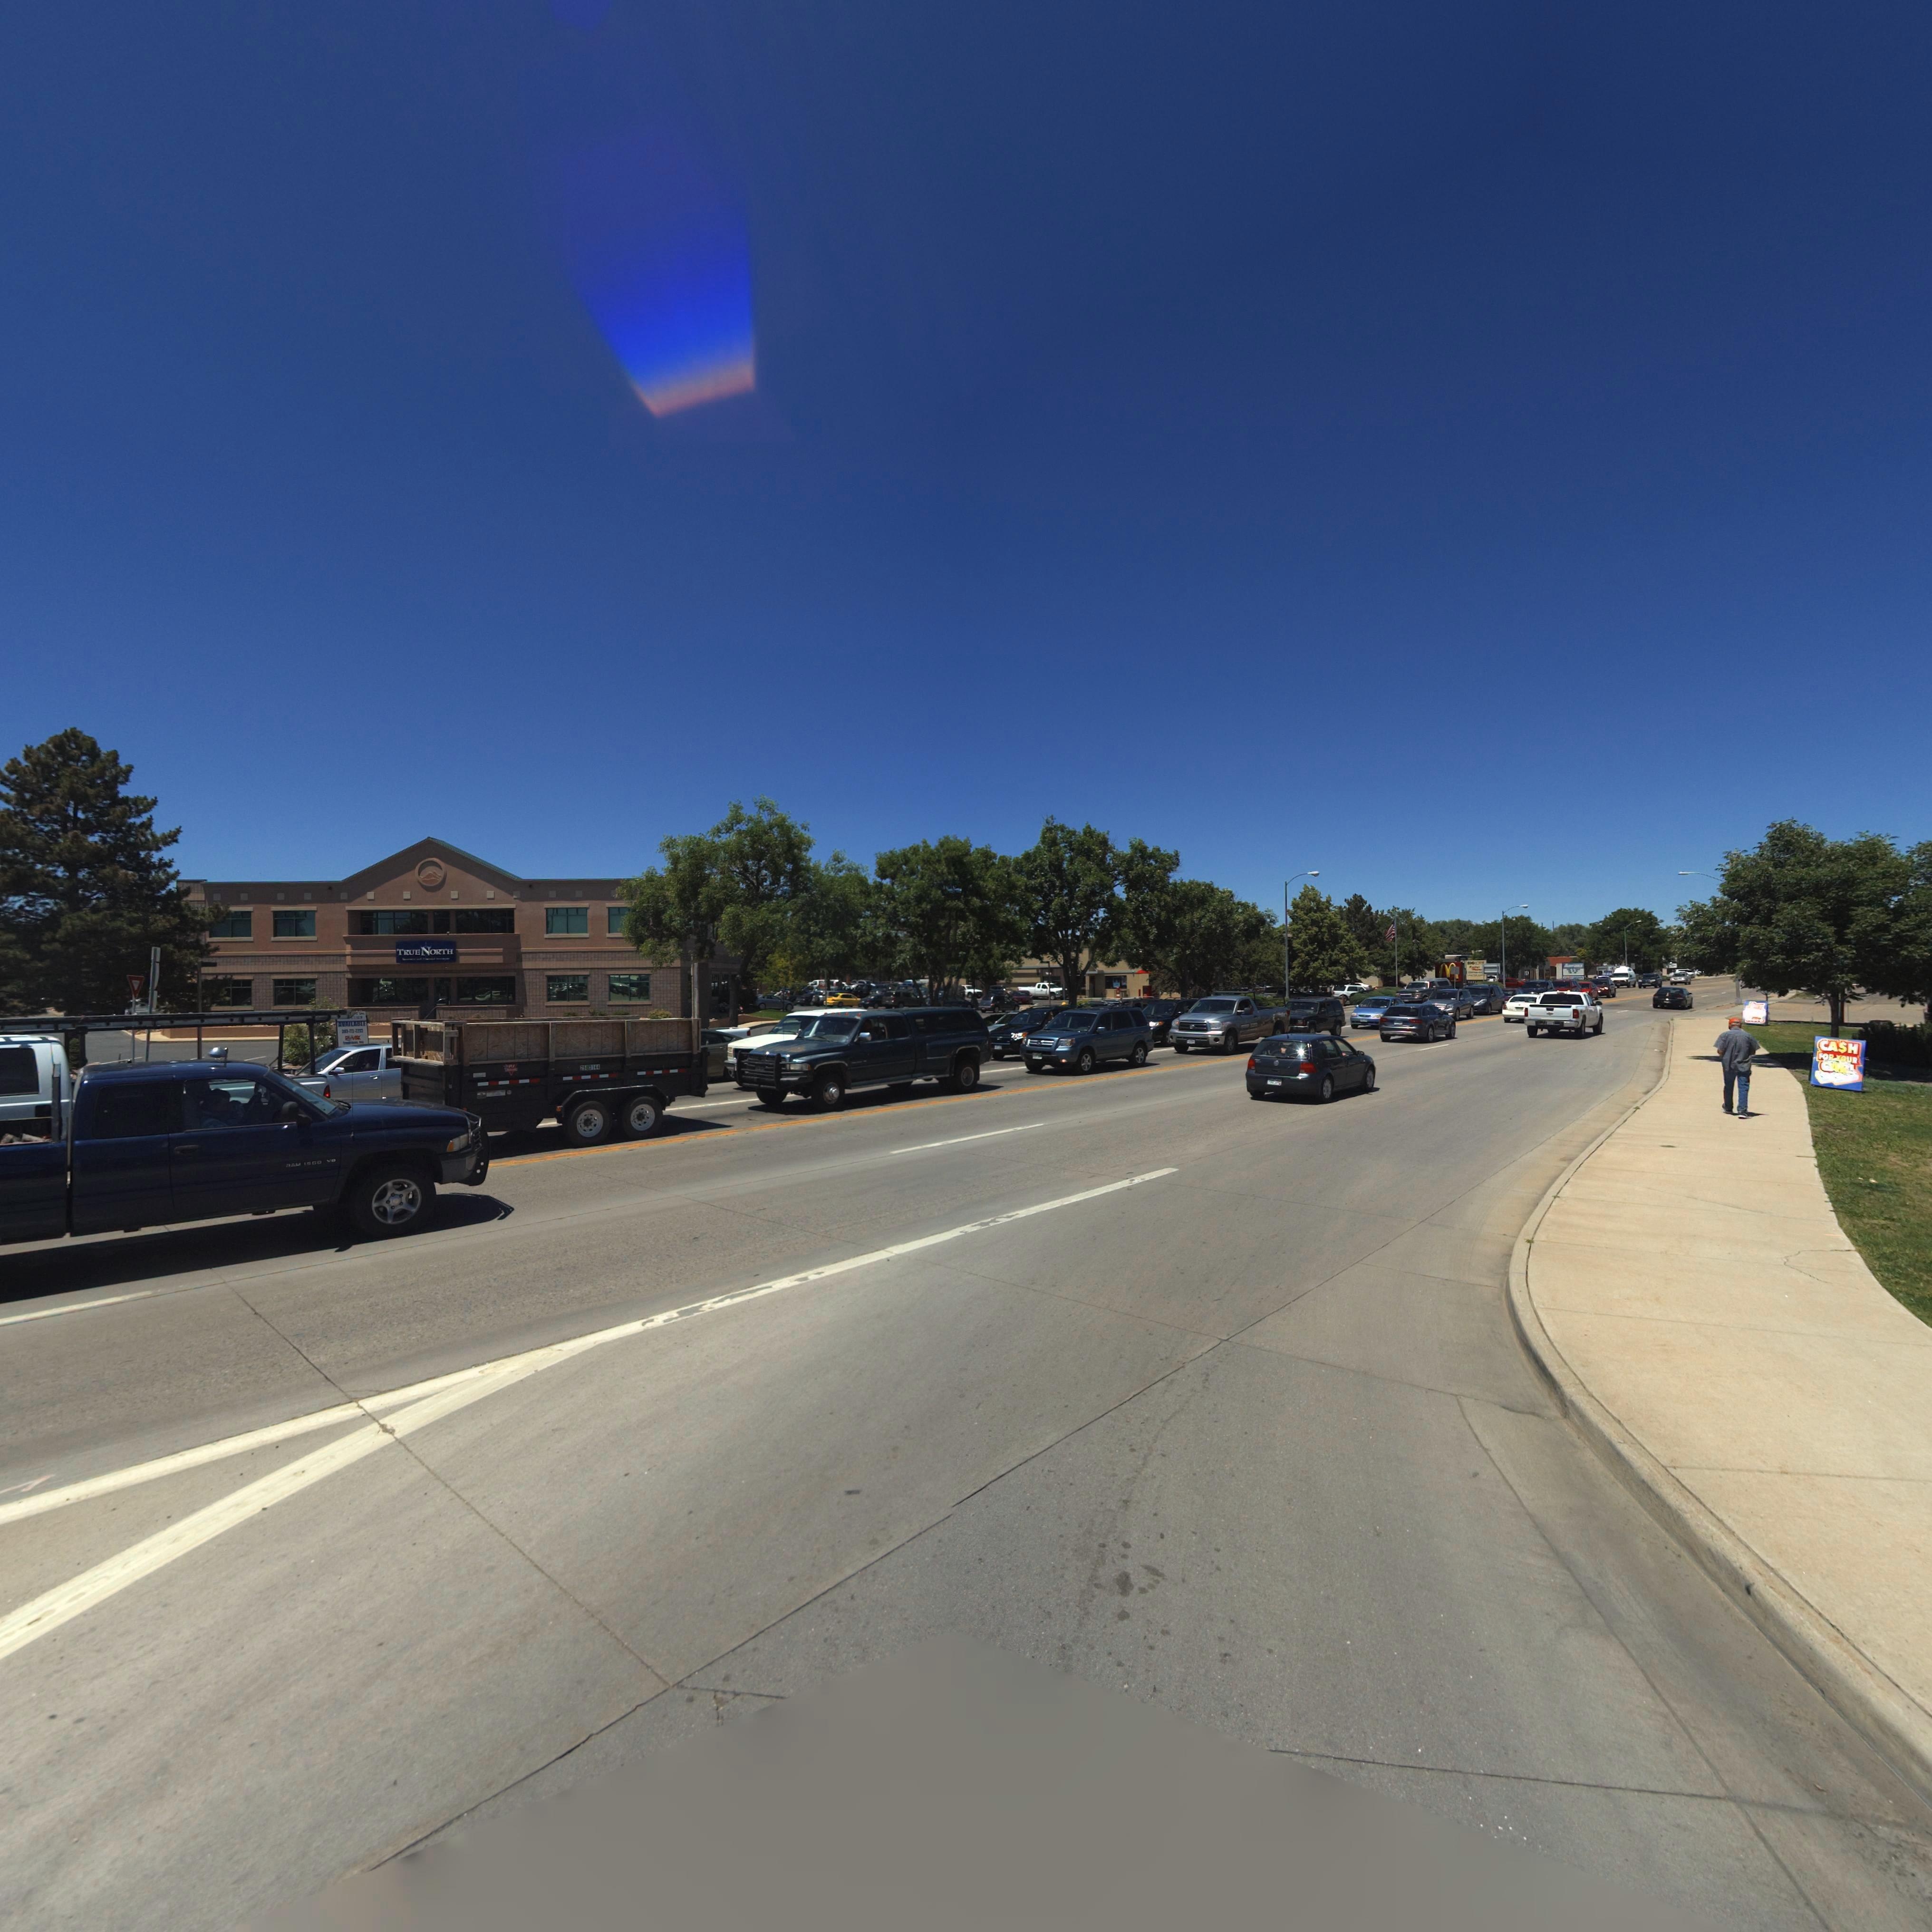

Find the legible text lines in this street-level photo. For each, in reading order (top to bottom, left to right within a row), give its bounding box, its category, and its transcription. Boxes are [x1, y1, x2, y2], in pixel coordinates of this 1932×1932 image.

[396, 945, 454, 956] BusinessName: TRUENORTH
[1467, 961, 1485, 965] BusinessName: BIG*O***
[1564, 963, 1583, 967] BusinessName: Aaron's